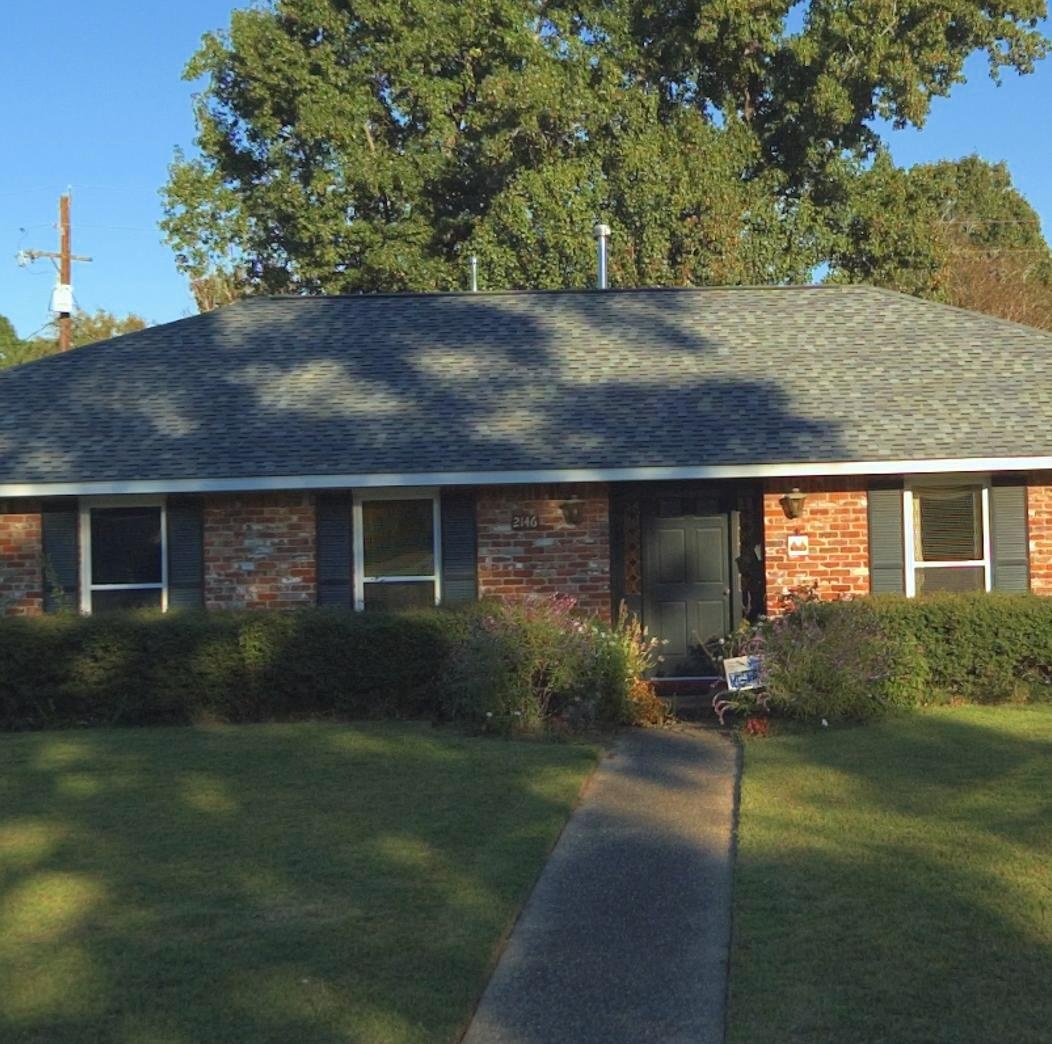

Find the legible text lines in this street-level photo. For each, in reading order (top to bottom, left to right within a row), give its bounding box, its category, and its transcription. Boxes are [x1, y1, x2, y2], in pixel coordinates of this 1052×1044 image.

[512, 516, 538, 528] StreetNumber: 2146